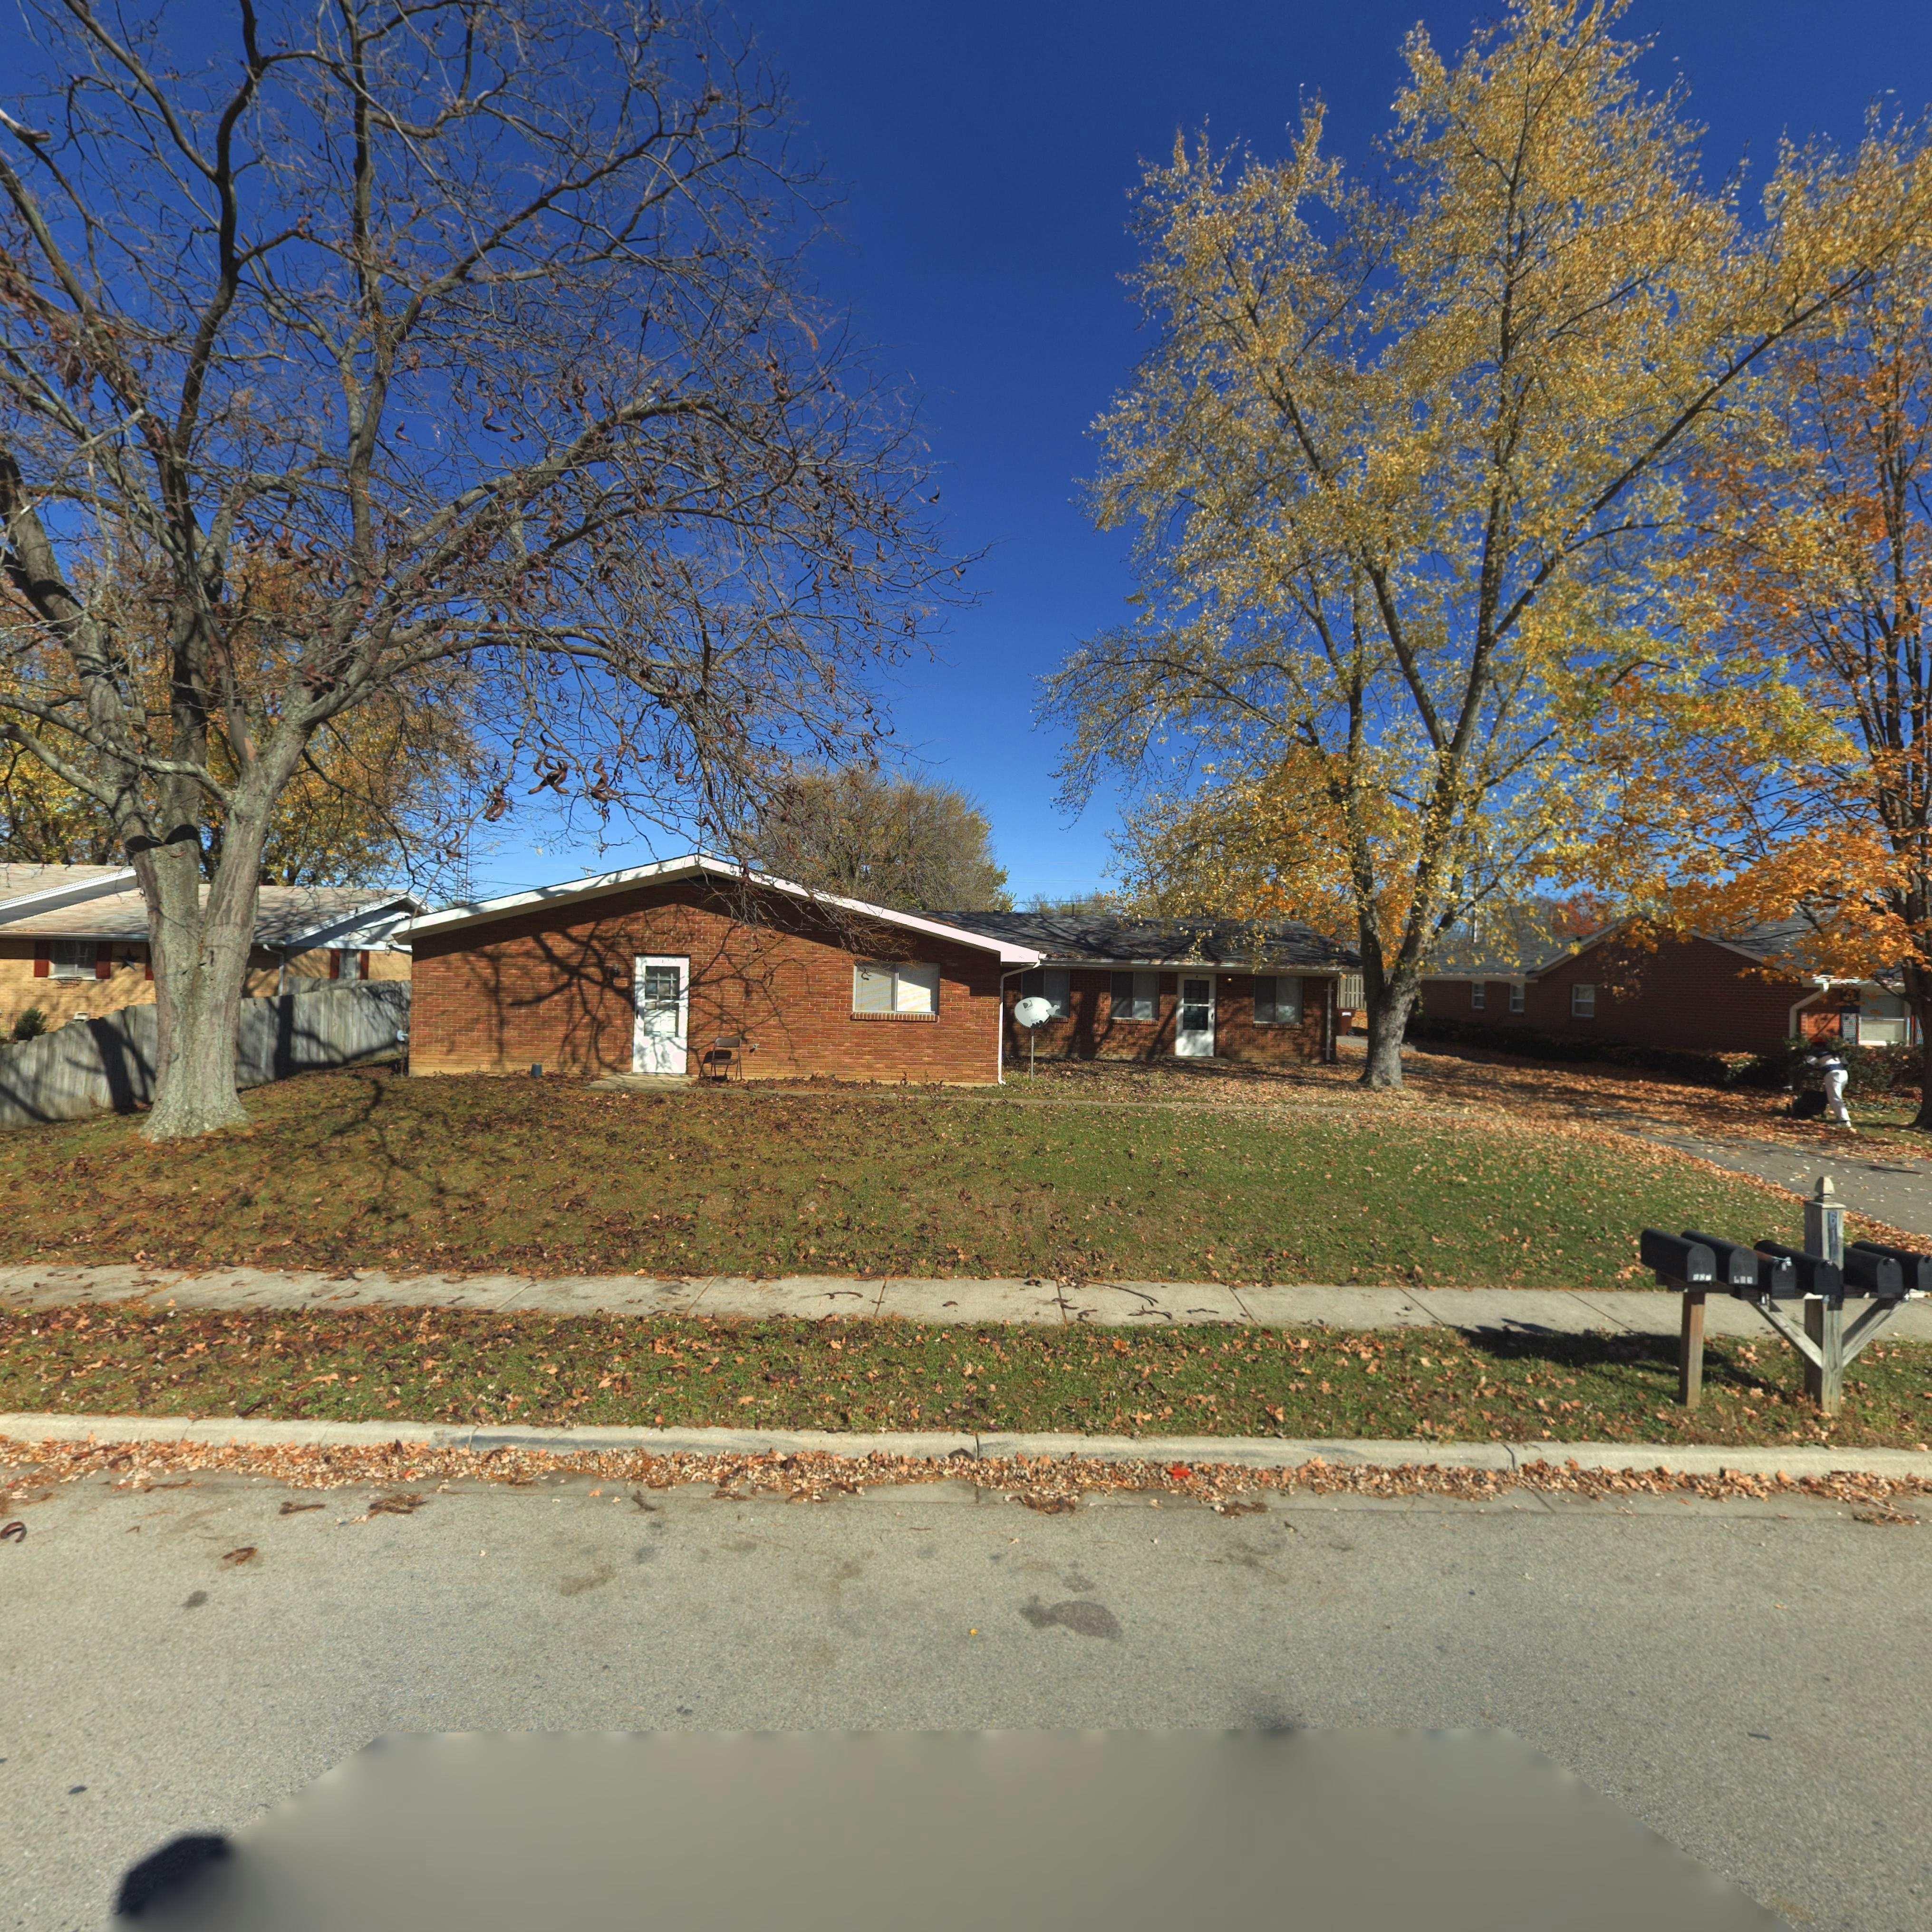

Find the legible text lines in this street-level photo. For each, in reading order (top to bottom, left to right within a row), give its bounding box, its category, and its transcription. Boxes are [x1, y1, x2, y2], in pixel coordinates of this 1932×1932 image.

[1829, 1211, 1839, 1260] StreetNumber: 610
[1693, 1274, 1711, 1281] StreetNumber: 60*
[1733, 1276, 1753, 1284] StreetNumber: 605